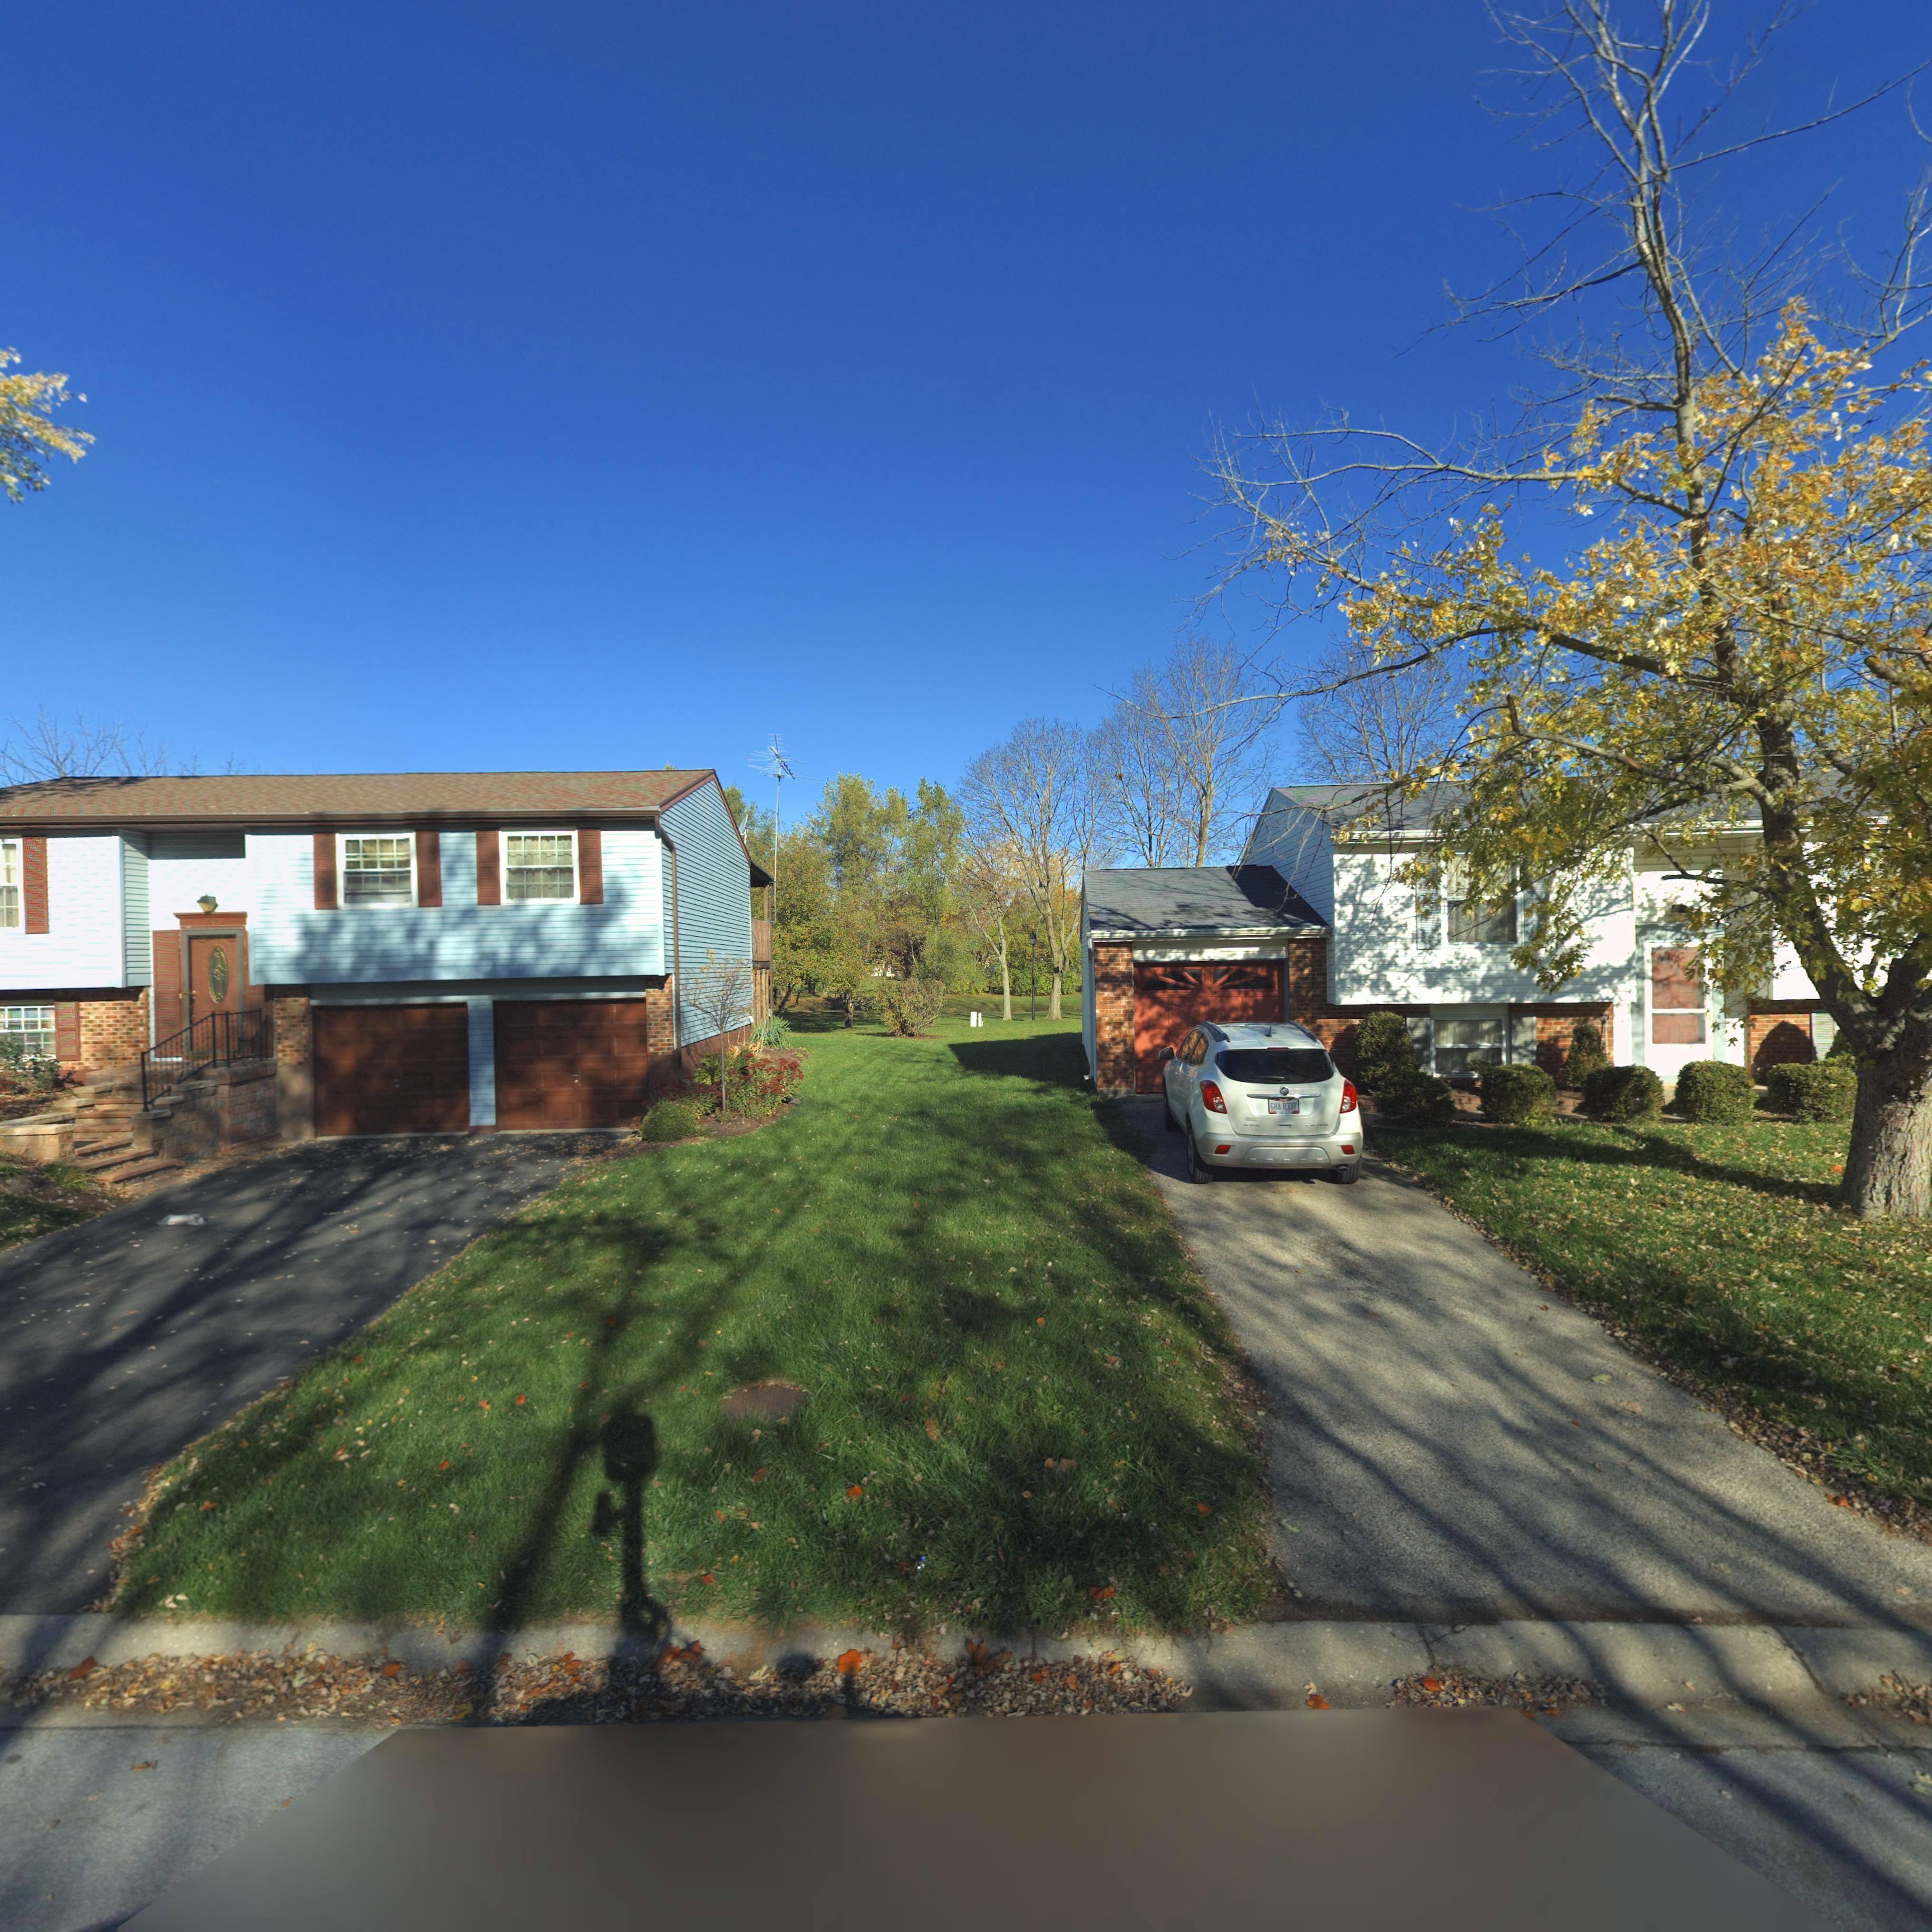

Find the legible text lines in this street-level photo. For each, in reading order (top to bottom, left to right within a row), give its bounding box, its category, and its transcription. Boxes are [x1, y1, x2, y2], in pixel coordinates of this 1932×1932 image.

[204, 917, 222, 926] StreetNumber: 14*